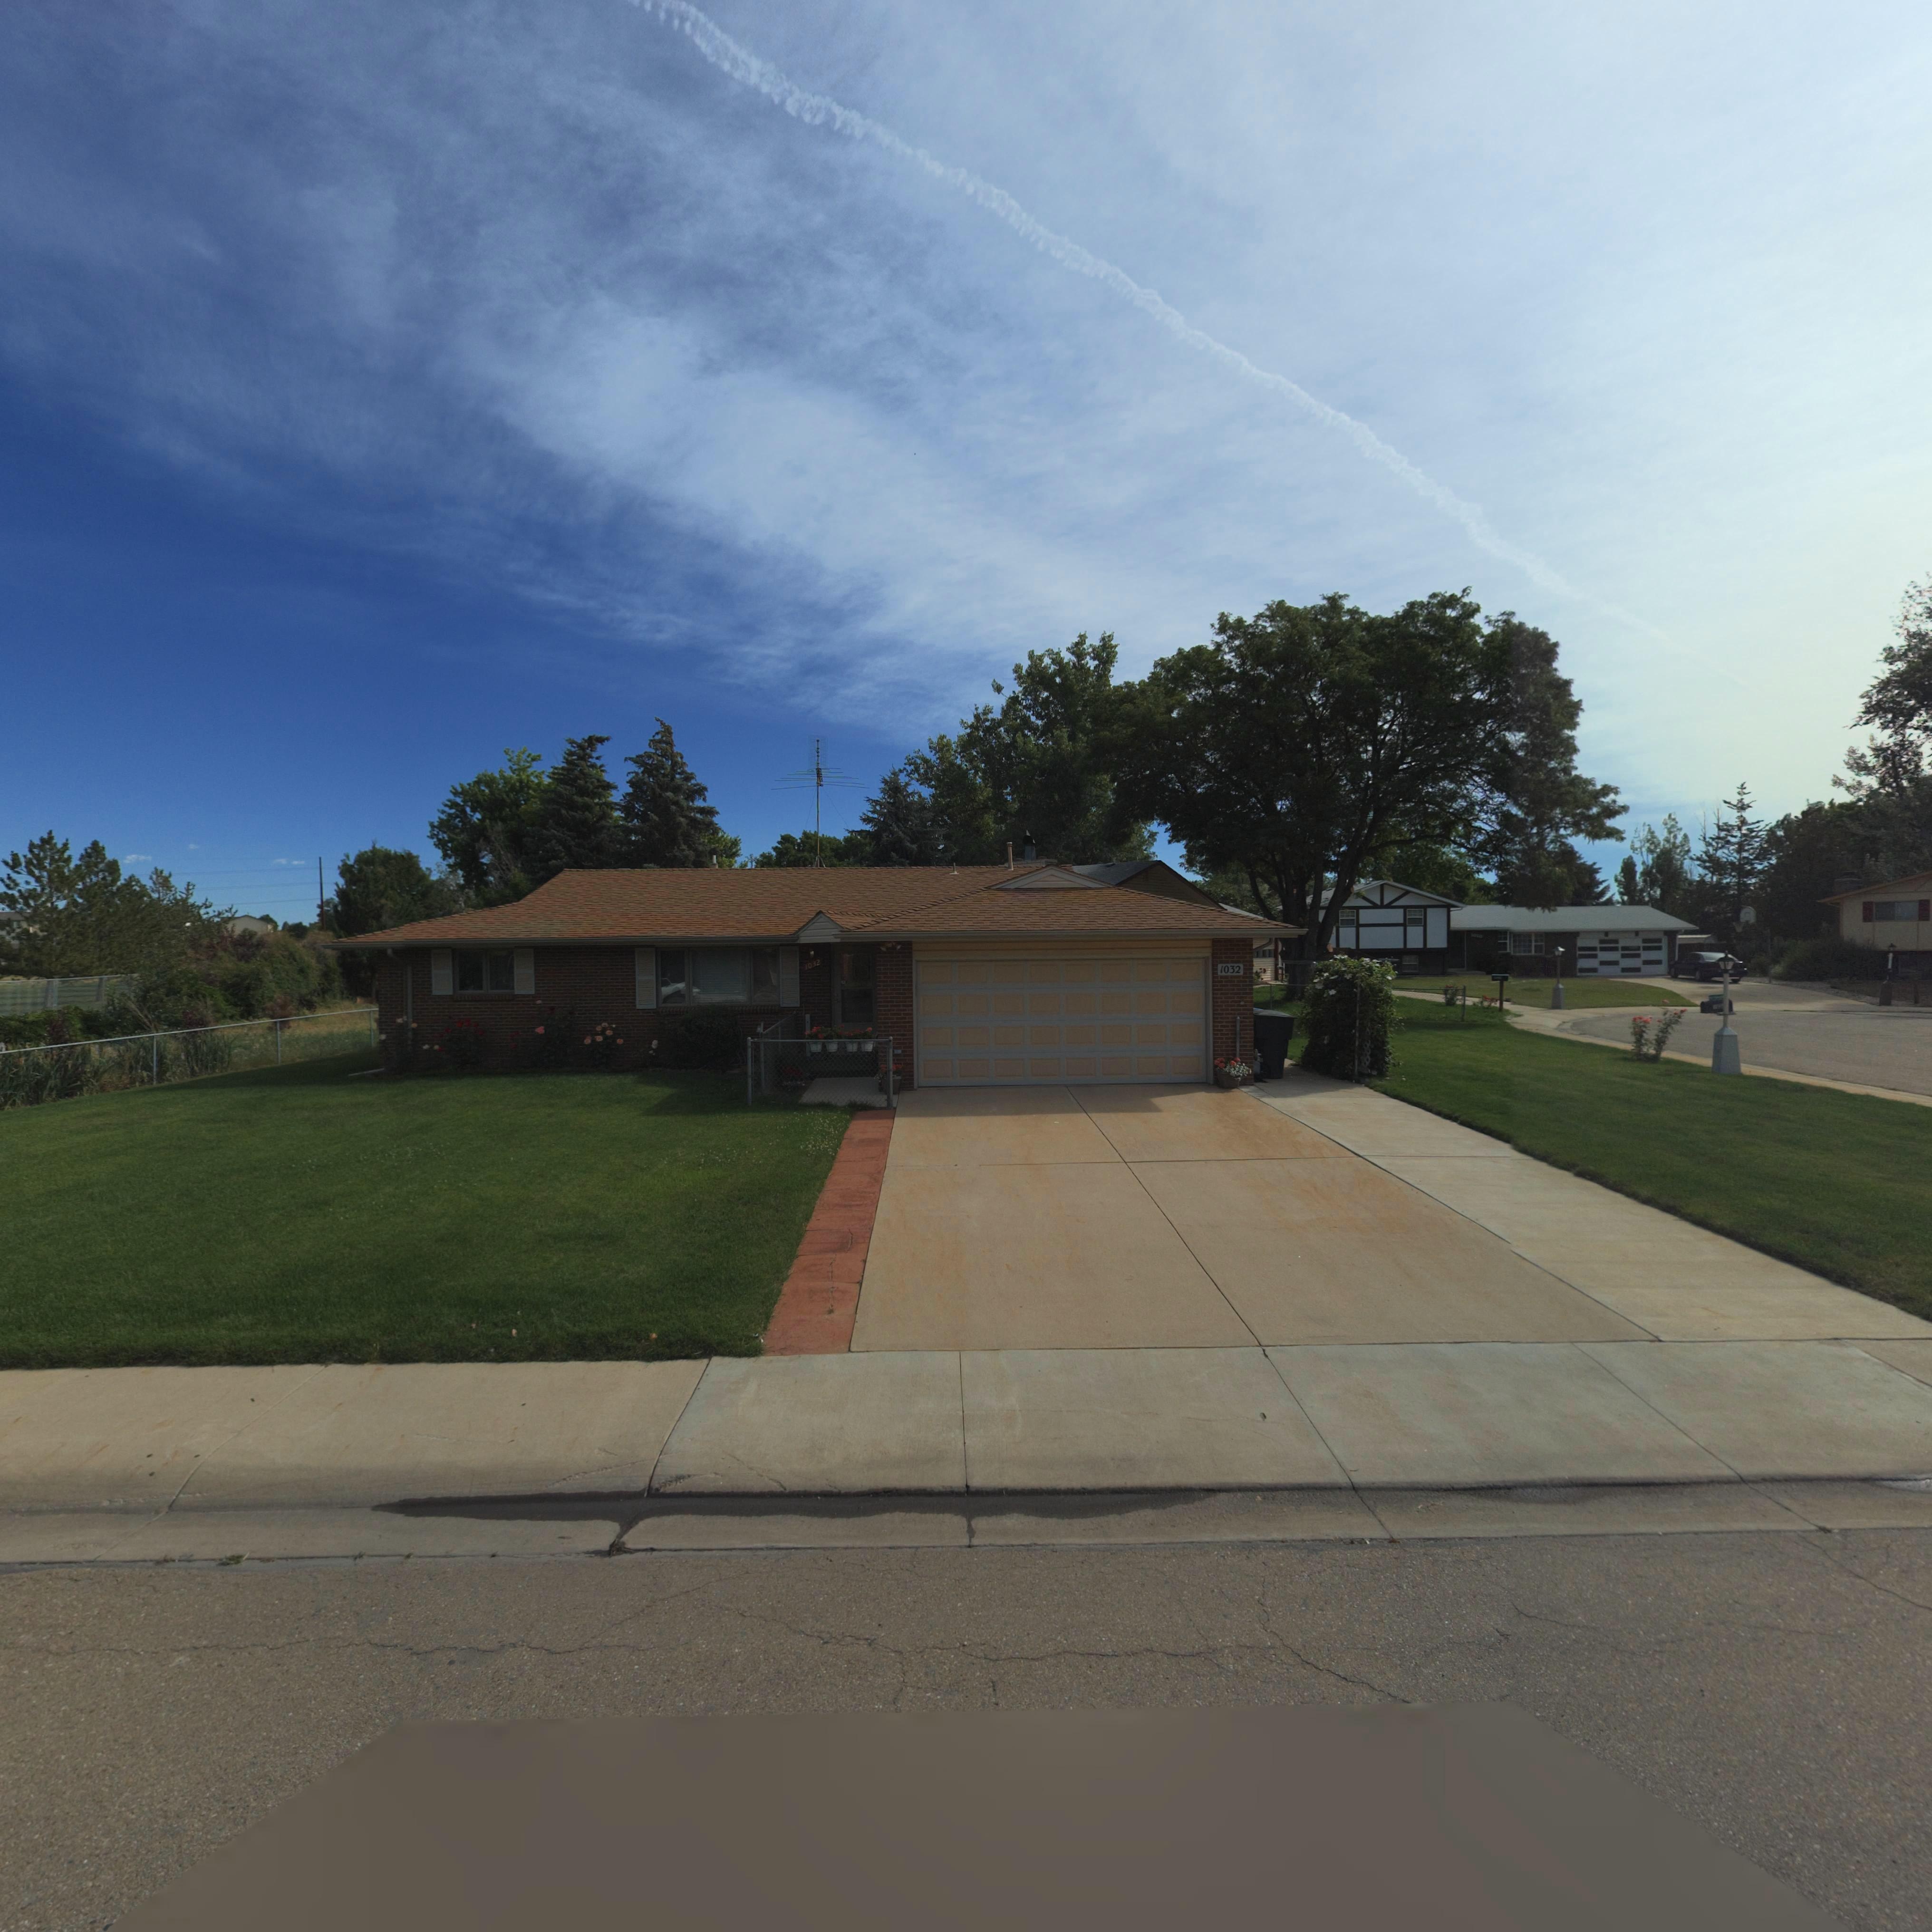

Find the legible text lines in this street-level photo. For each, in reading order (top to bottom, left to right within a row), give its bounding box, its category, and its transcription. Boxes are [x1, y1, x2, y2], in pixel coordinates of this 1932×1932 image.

[1470, 932, 1483, 938] StreetNumber: 1020
[804, 959, 821, 970] StreetNumber: 1032
[1219, 965, 1241, 974] StreetNumber: 1032